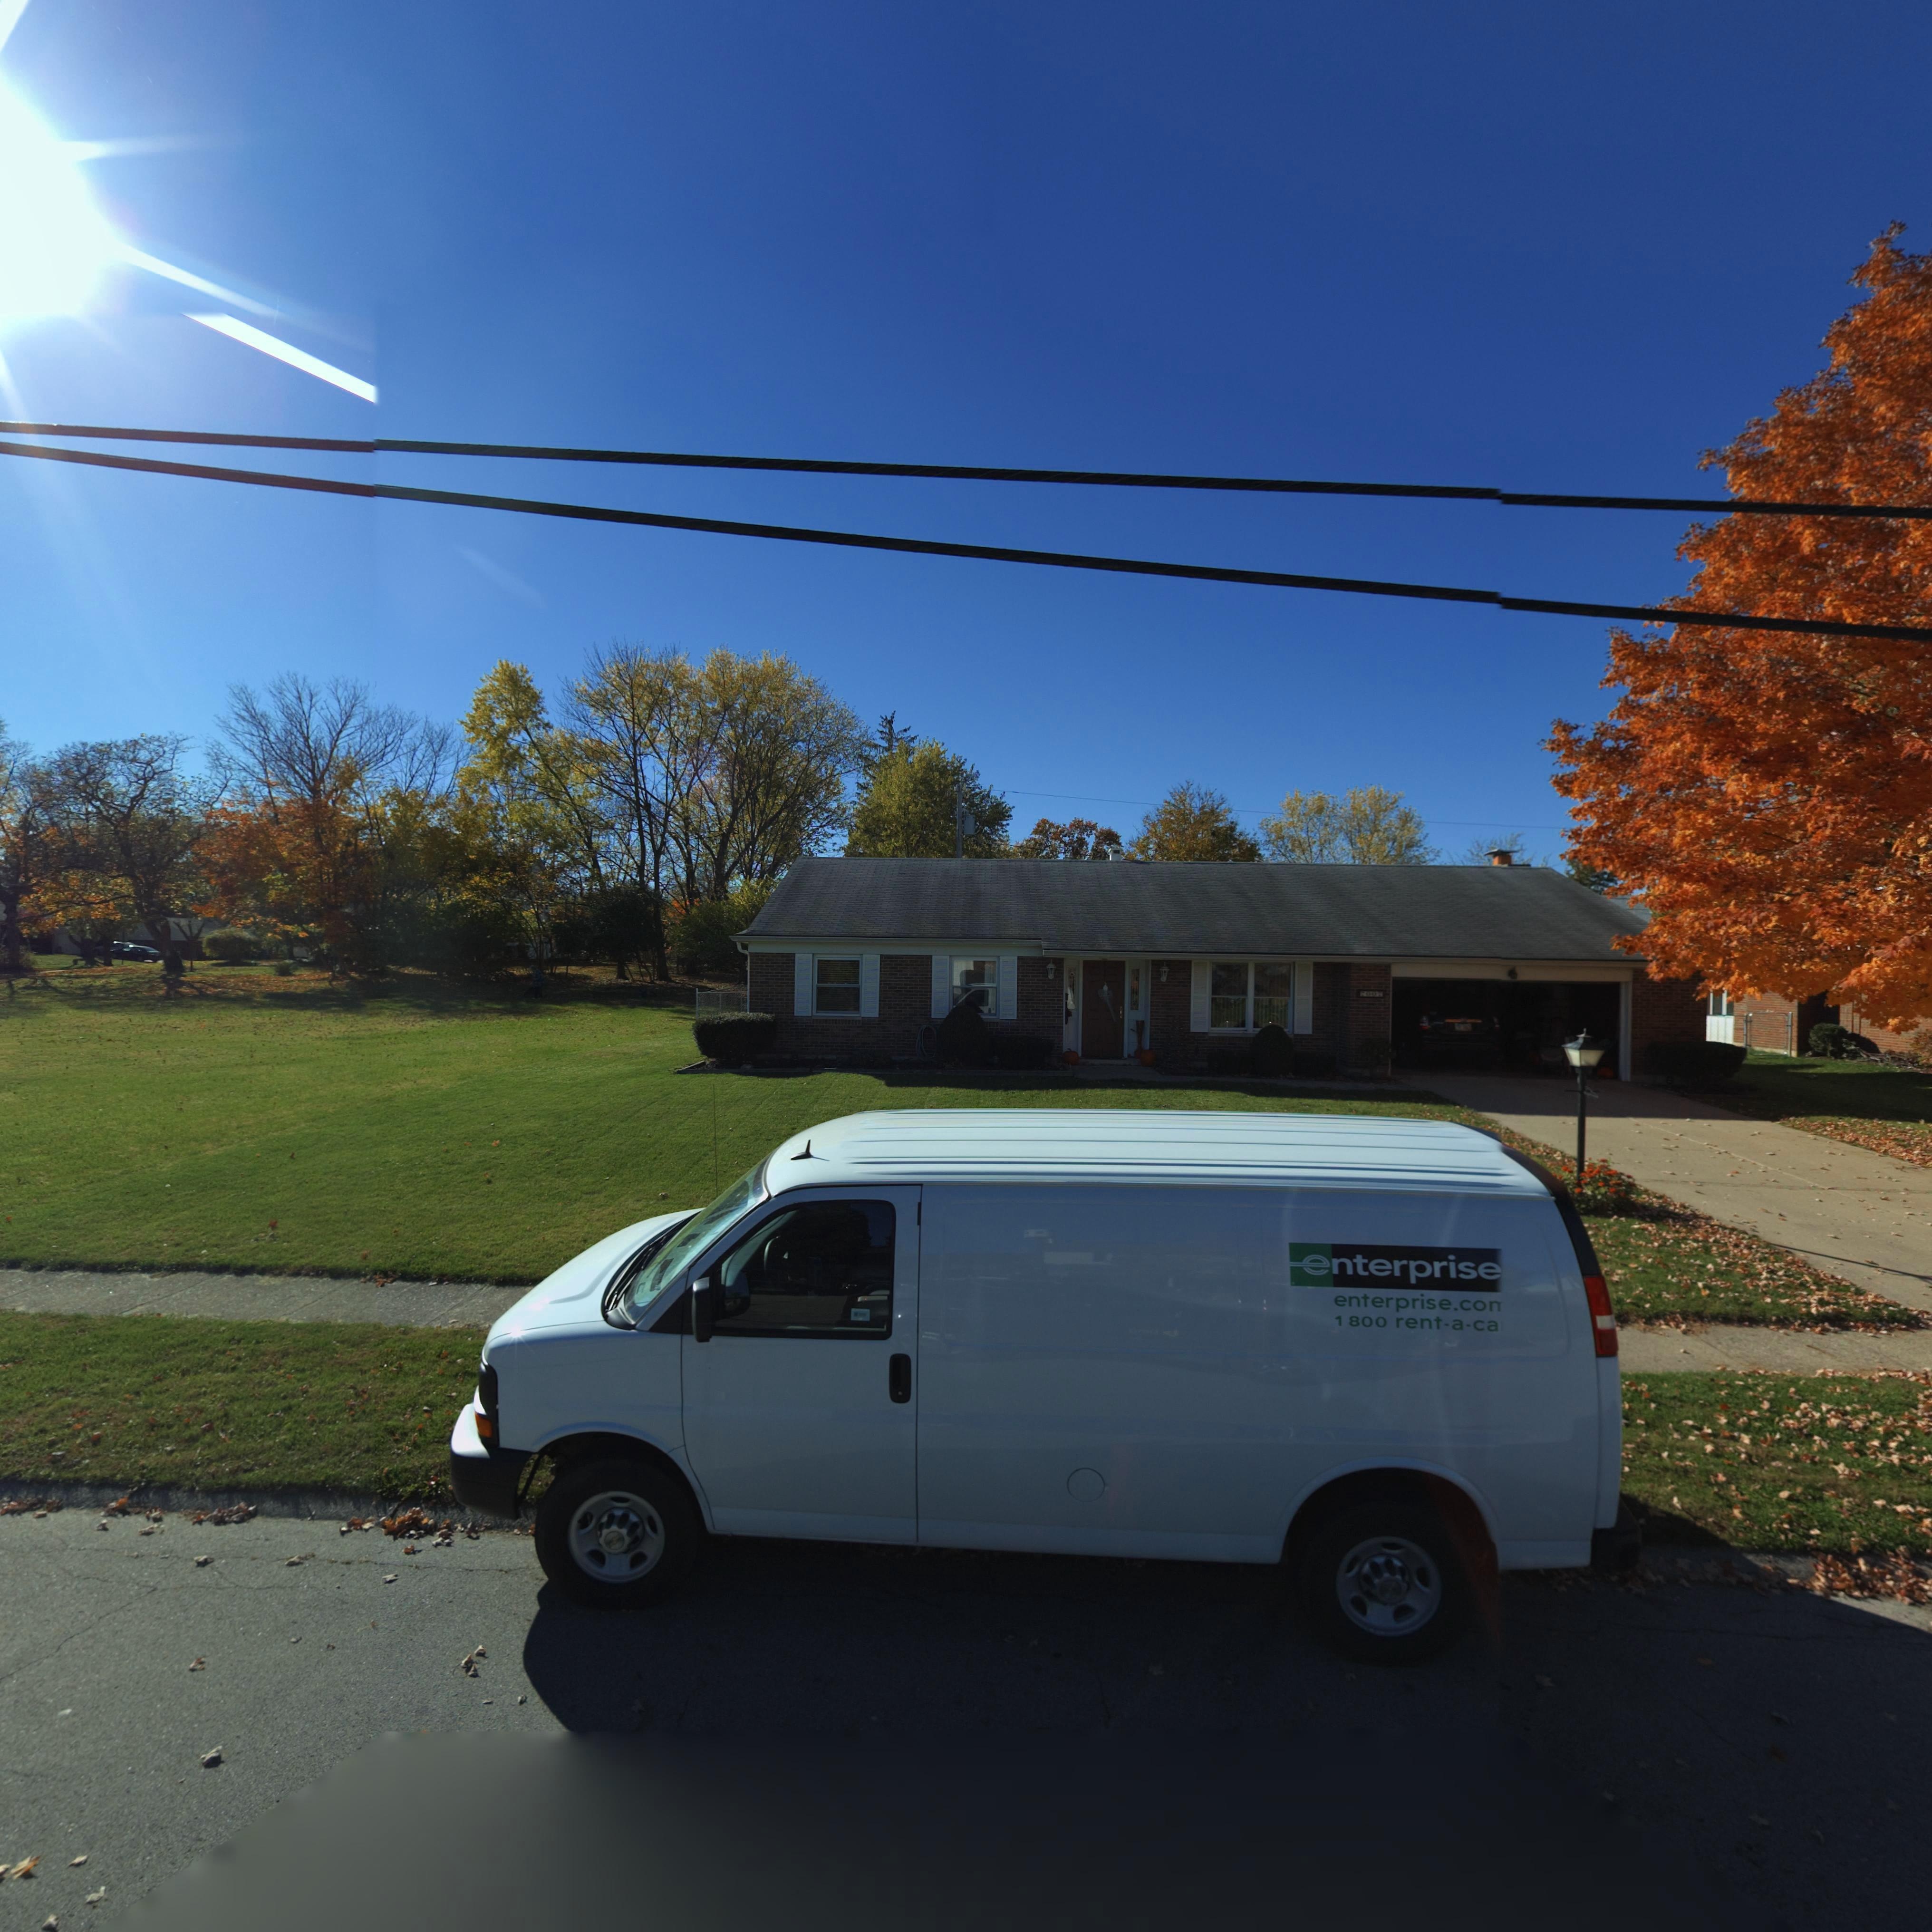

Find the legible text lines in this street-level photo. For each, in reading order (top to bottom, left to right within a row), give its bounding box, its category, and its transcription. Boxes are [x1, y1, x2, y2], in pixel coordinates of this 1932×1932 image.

[1360, 991, 1383, 997] StreetNumber: 7007